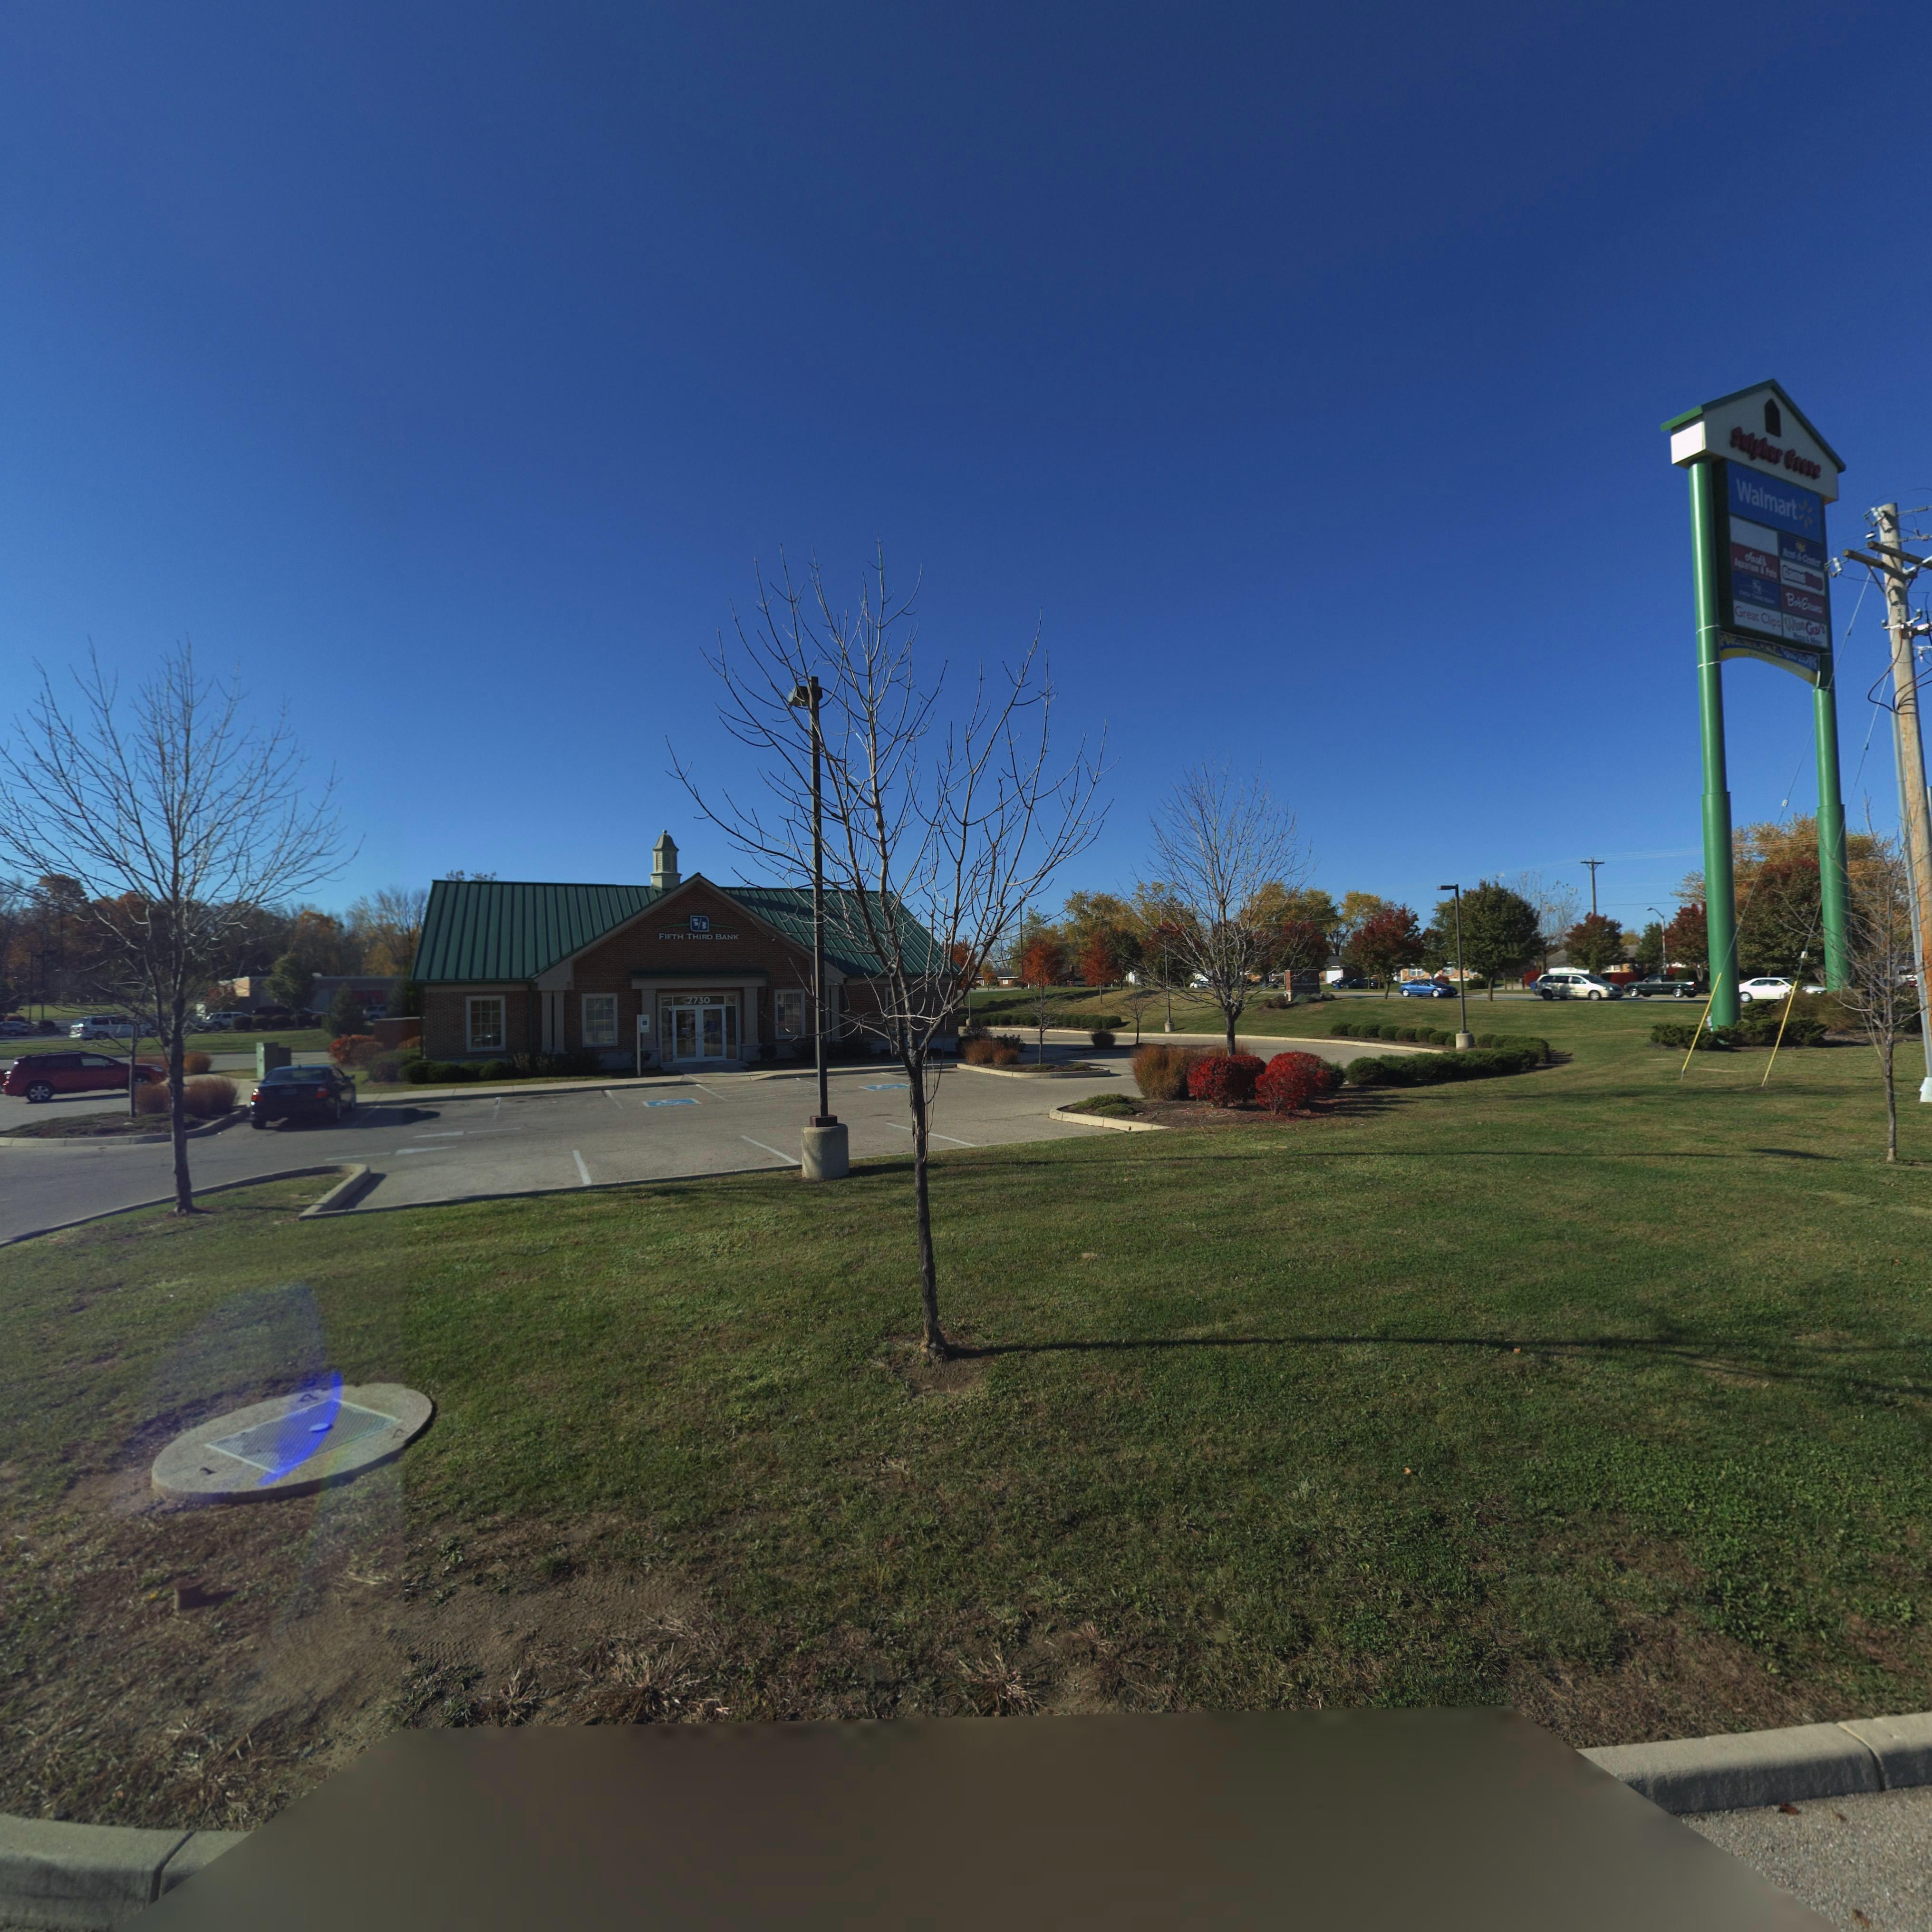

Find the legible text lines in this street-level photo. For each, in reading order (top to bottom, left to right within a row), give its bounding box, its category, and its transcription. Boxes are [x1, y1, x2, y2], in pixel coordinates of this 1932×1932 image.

[1734, 477, 1799, 522] BusinessName: Walmart
[1743, 551, 1768, 568] BusinessName: Jack's
[1781, 547, 1823, 569] BusinessName: Rent*A*Center
[1780, 564, 1824, 592] BusinessName: GameStop
[1785, 591, 1824, 615] BusinessName: Bob Evans
[1733, 604, 1782, 630] BusinessName: Great Clips
[1782, 616, 1826, 637] BusinessName: Wise Guy's
[658, 933, 740, 940] BusinessName: FIFTH THIRD BANK
[686, 995, 711, 1005] StreetNumber: 7730